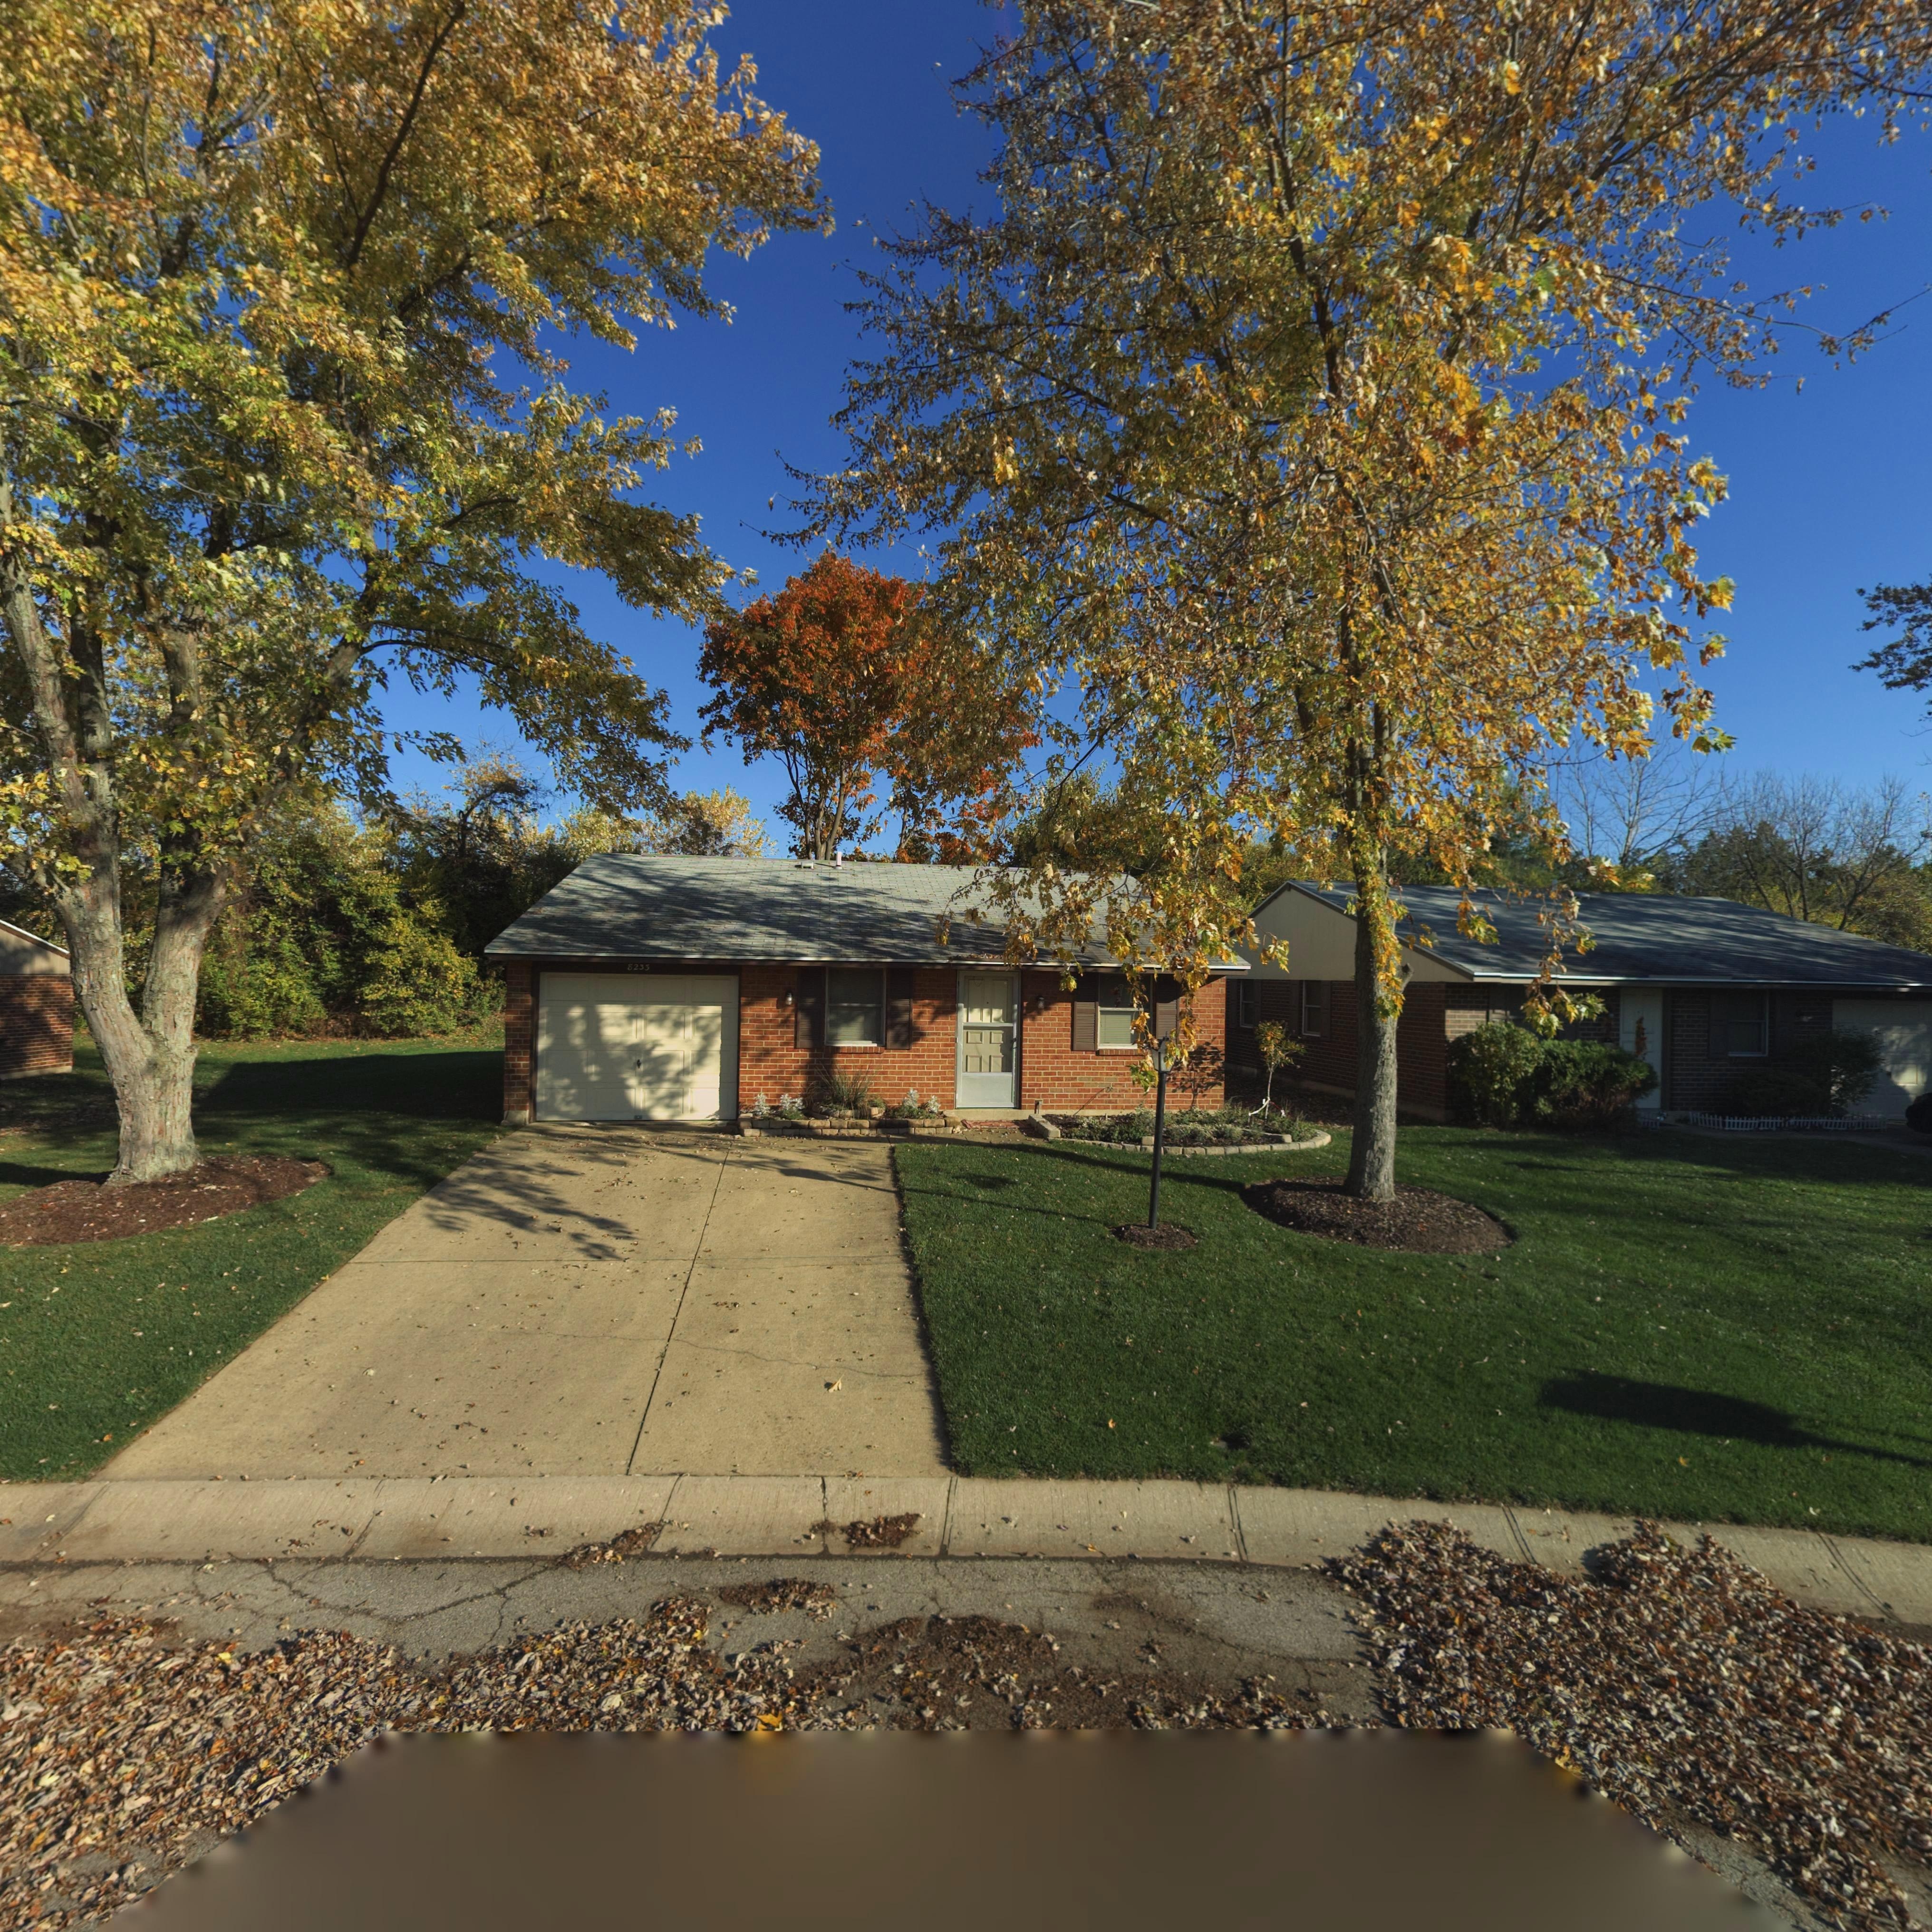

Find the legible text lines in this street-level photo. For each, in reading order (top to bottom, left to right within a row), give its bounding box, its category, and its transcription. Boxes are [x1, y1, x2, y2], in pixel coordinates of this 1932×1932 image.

[627, 963, 650, 971] StreetNumber: 8233